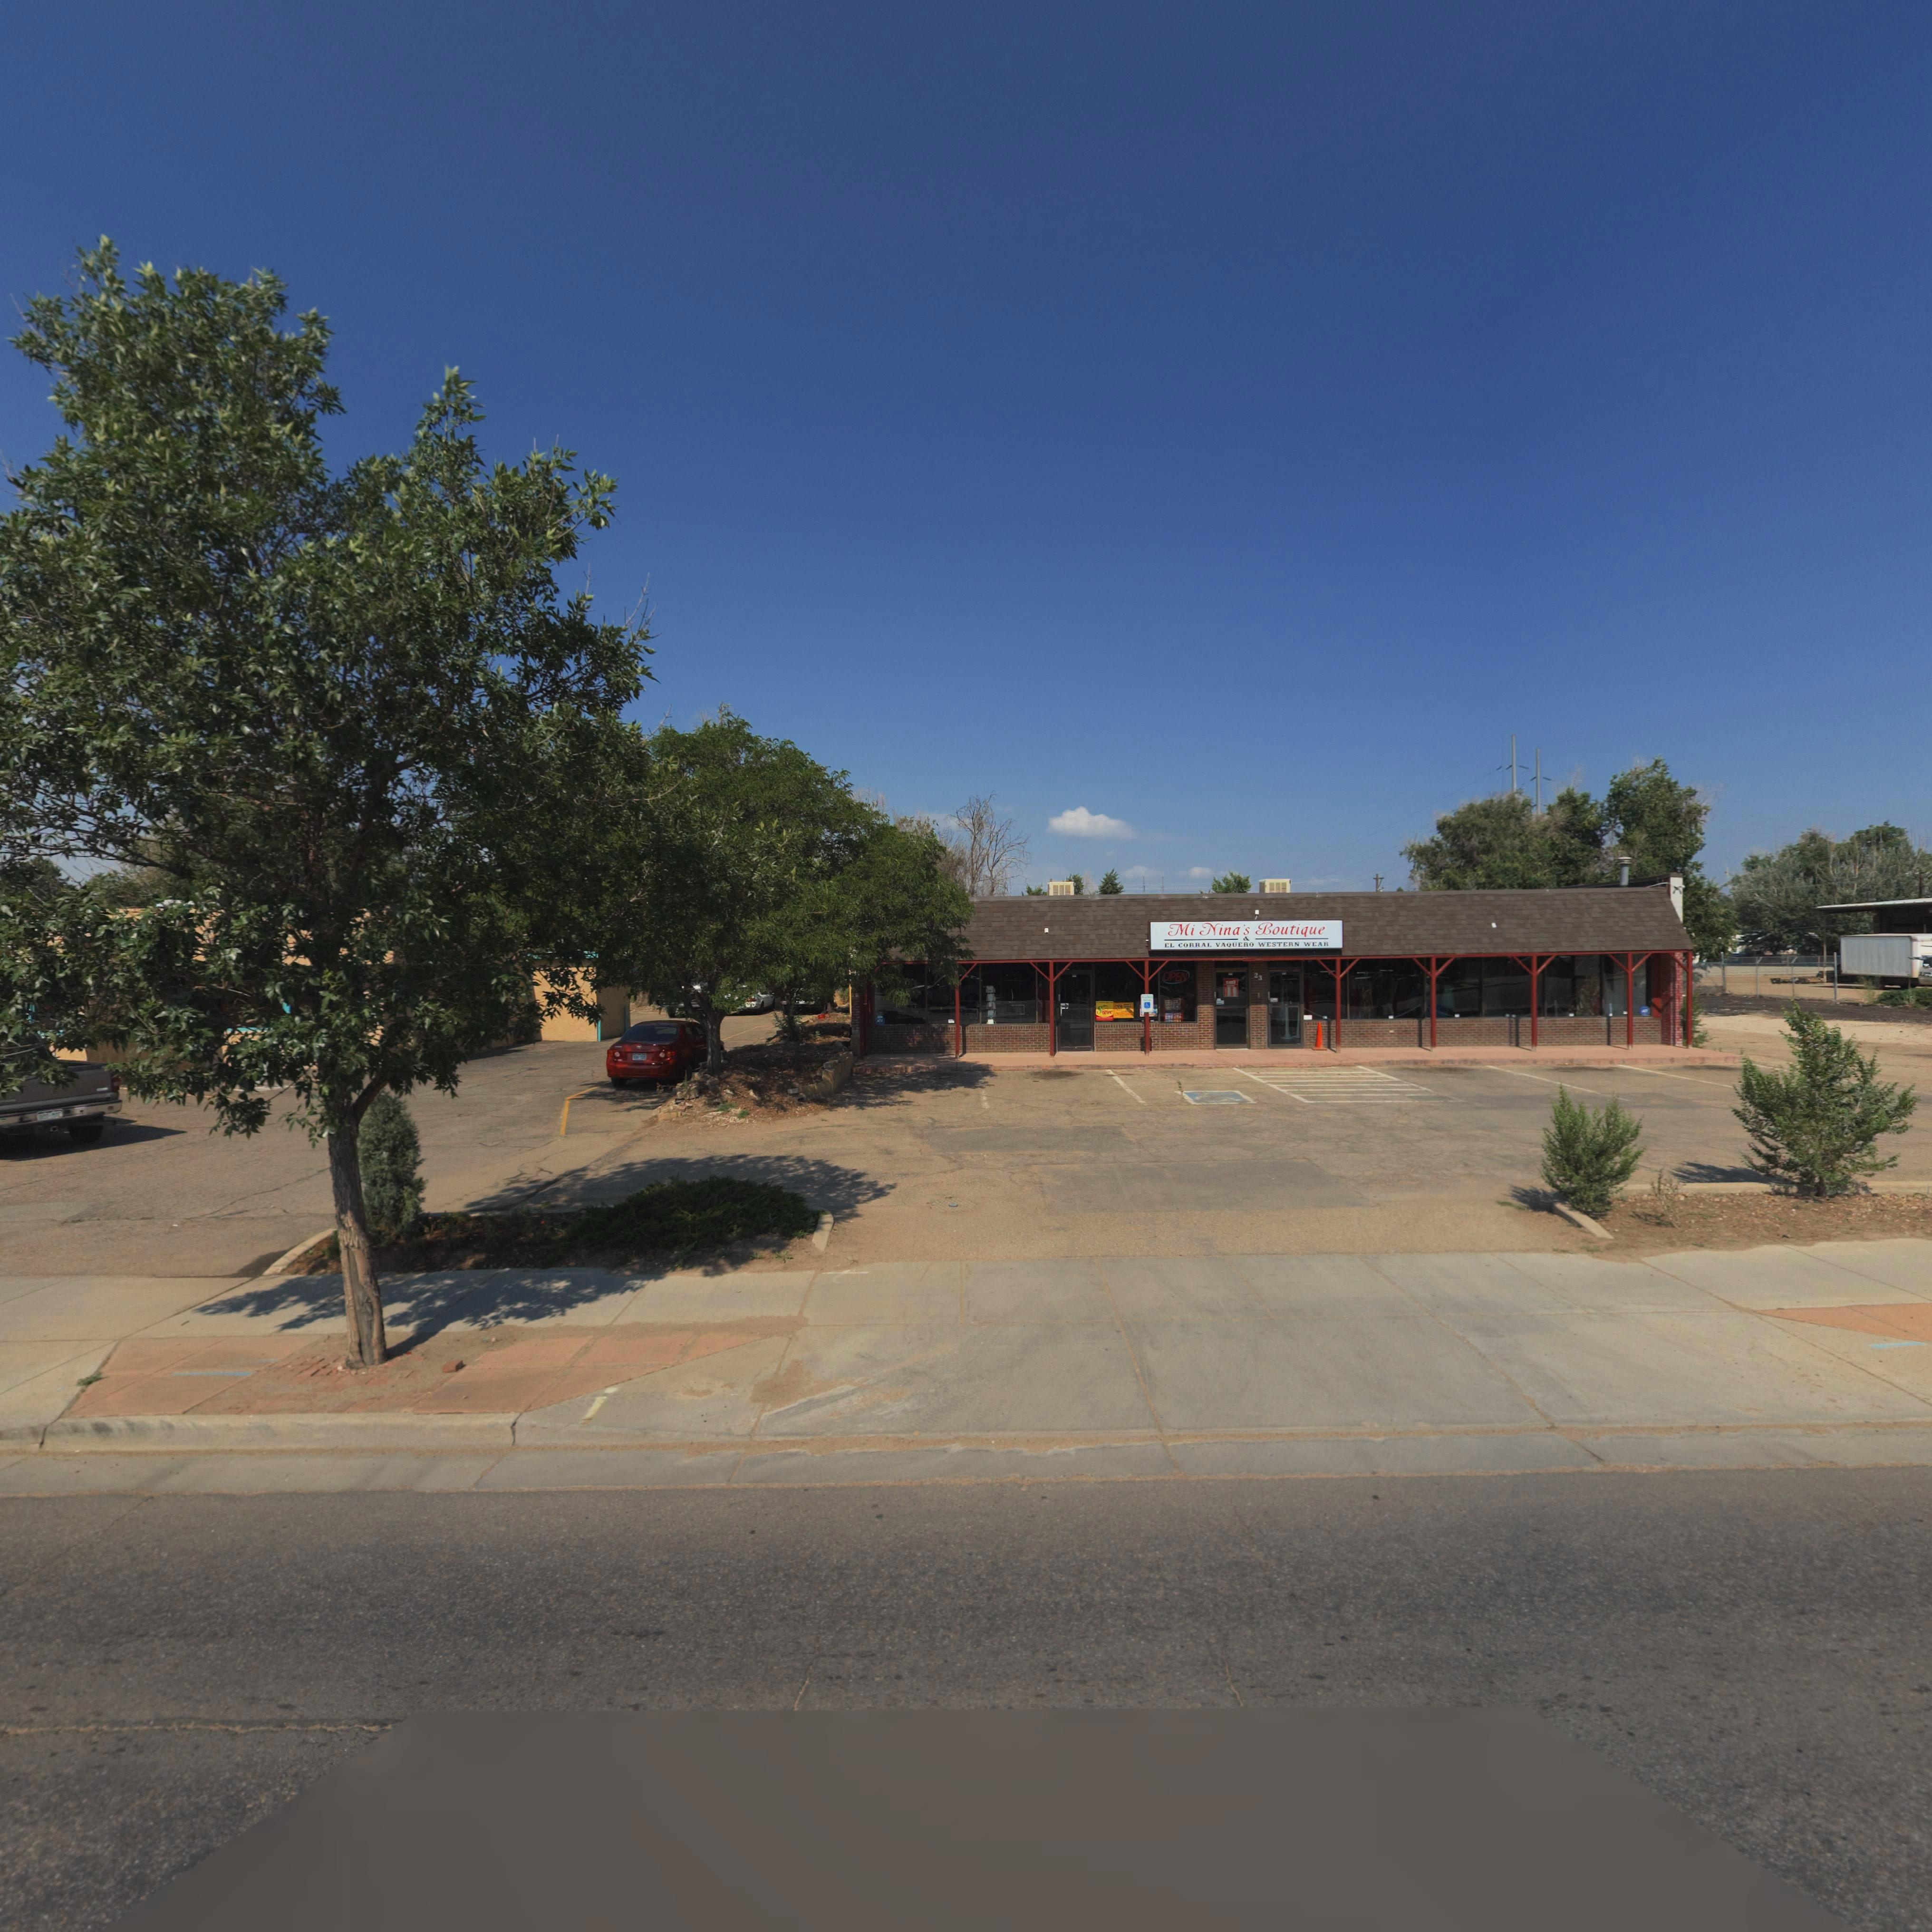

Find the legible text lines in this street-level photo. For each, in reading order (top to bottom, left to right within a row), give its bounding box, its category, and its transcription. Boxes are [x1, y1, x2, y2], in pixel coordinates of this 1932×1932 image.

[1168, 921, 1325, 937] BusinessName: Mi Nina's Boutique
[1254, 972, 1262, 981] StreetNumber: 23